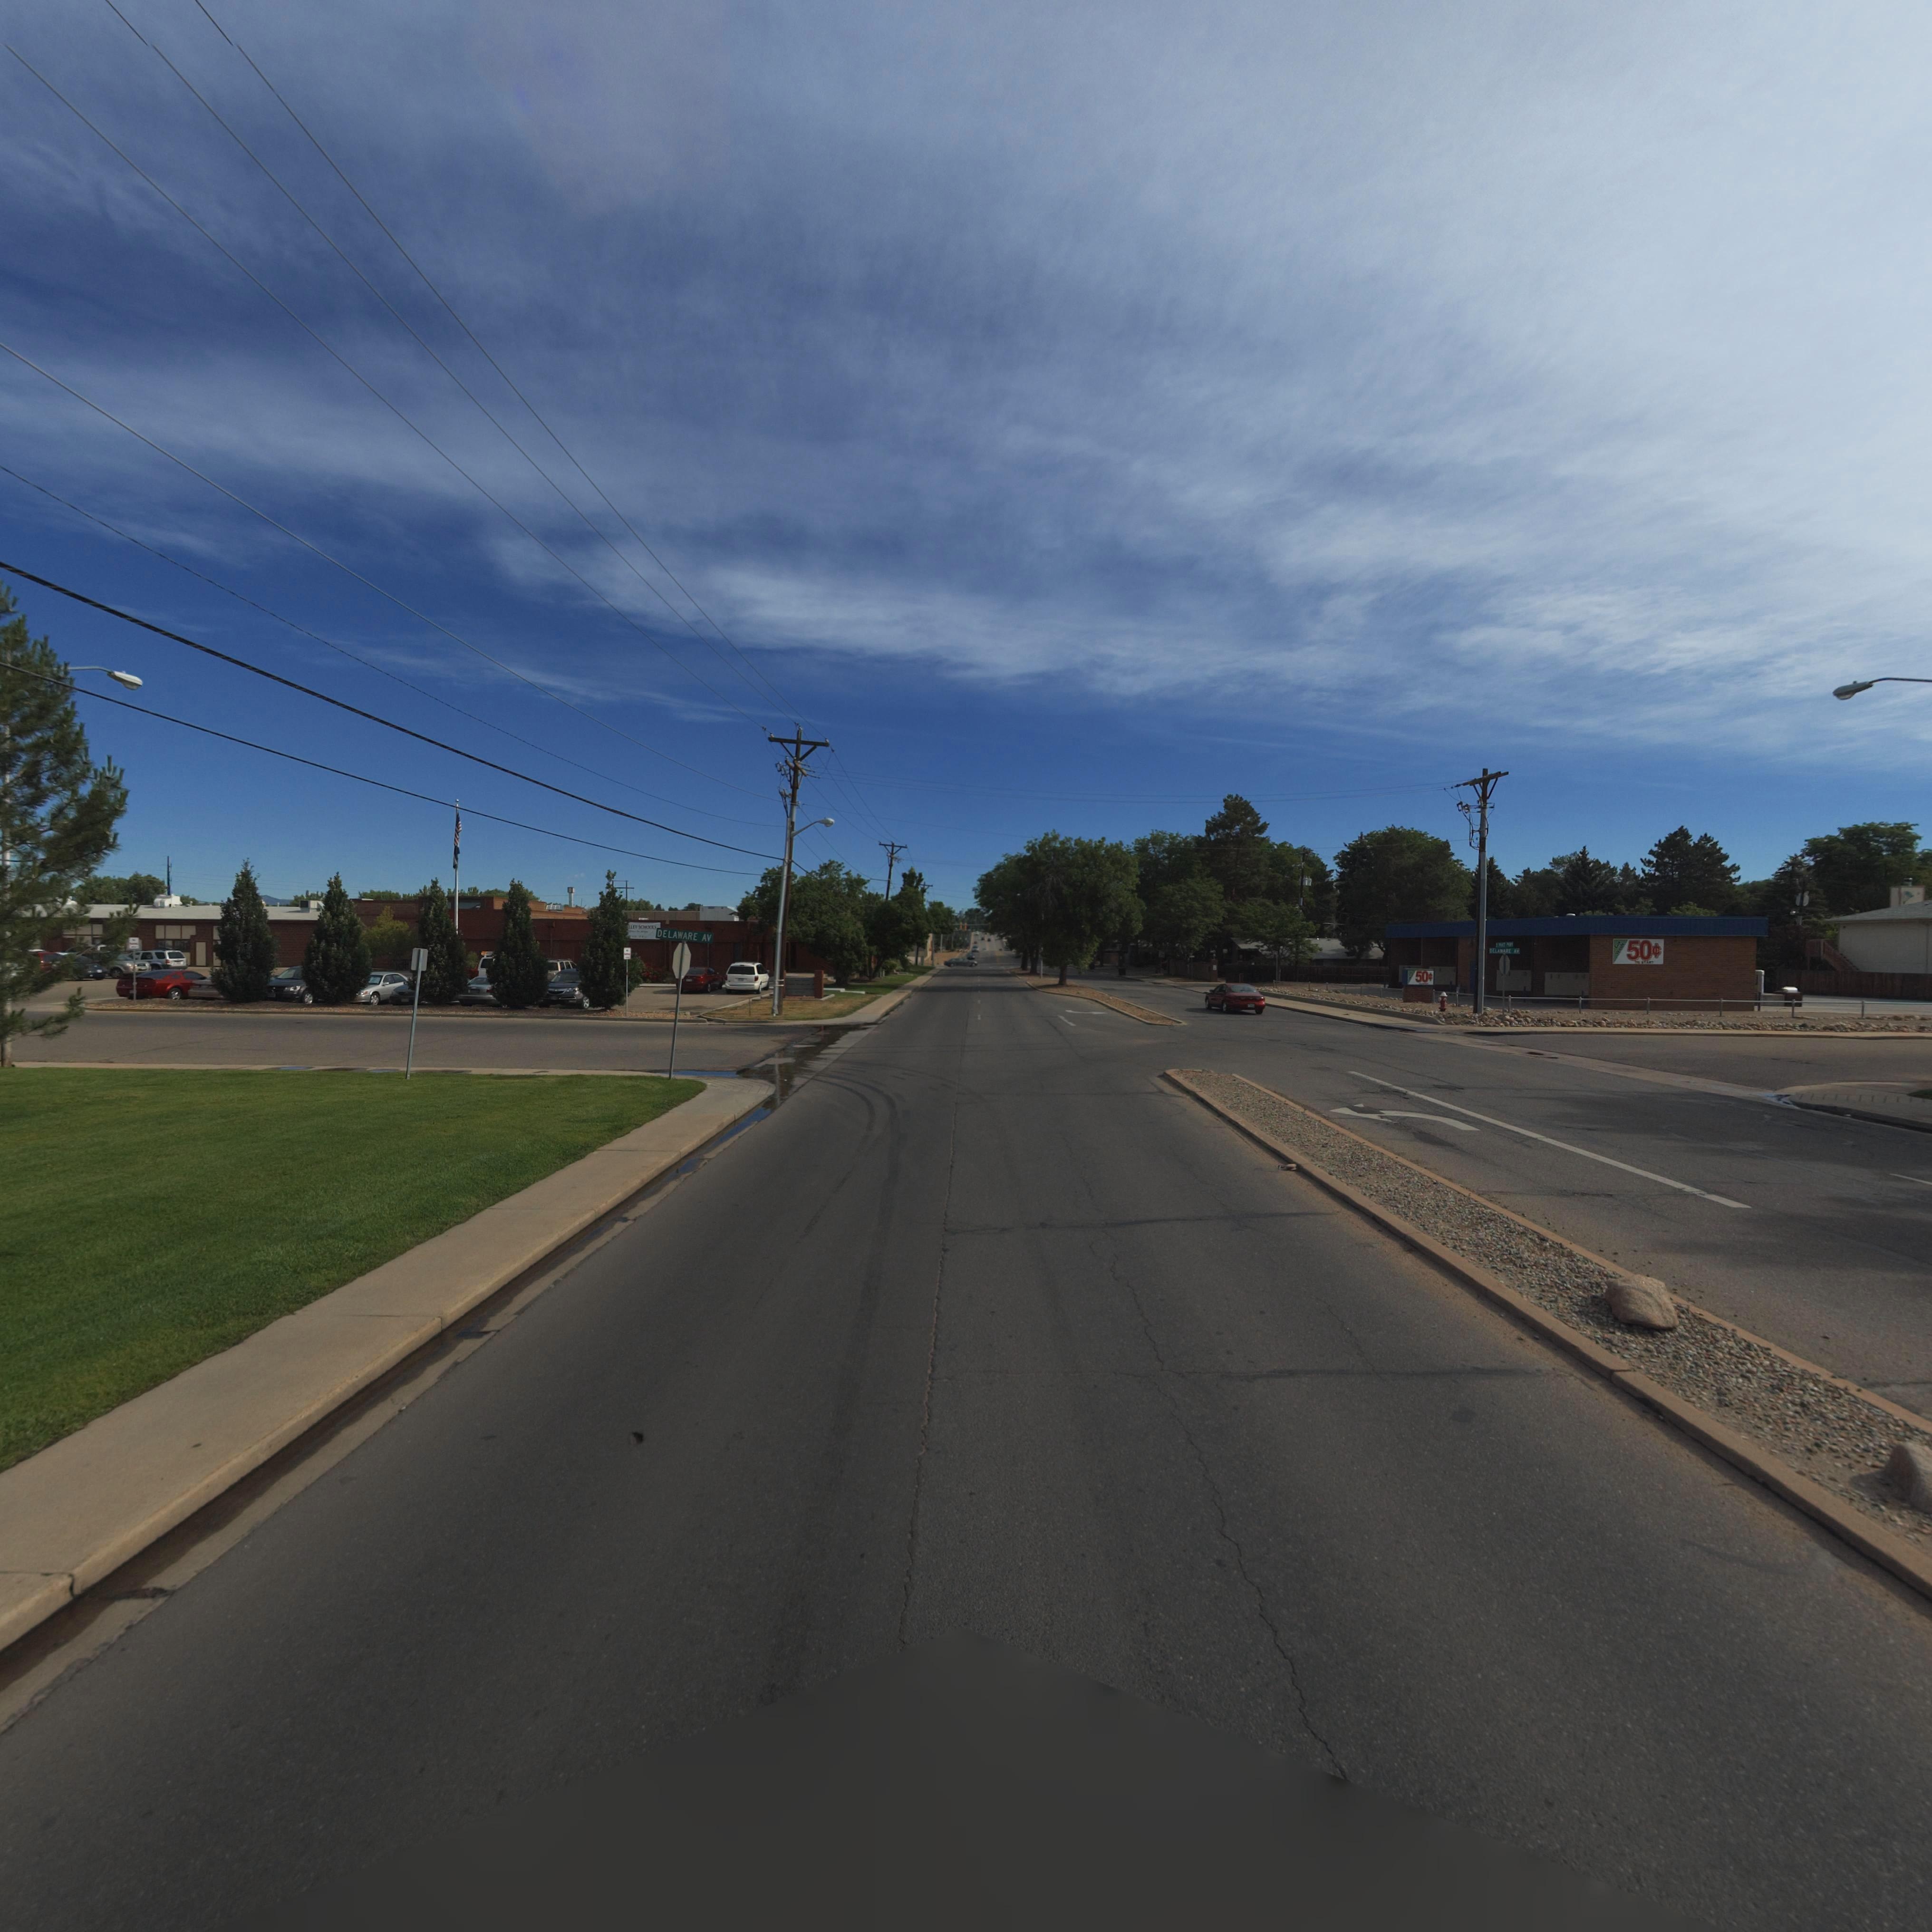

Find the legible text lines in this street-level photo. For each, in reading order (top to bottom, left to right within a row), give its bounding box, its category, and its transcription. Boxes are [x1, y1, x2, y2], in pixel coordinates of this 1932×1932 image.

[657, 928, 712, 942] StreetName: DELAWARE AV
[1495, 942, 1513, 947] StreetName: S P**** P***
[1489, 948, 1519, 953] StreetName: DELAWARE AV